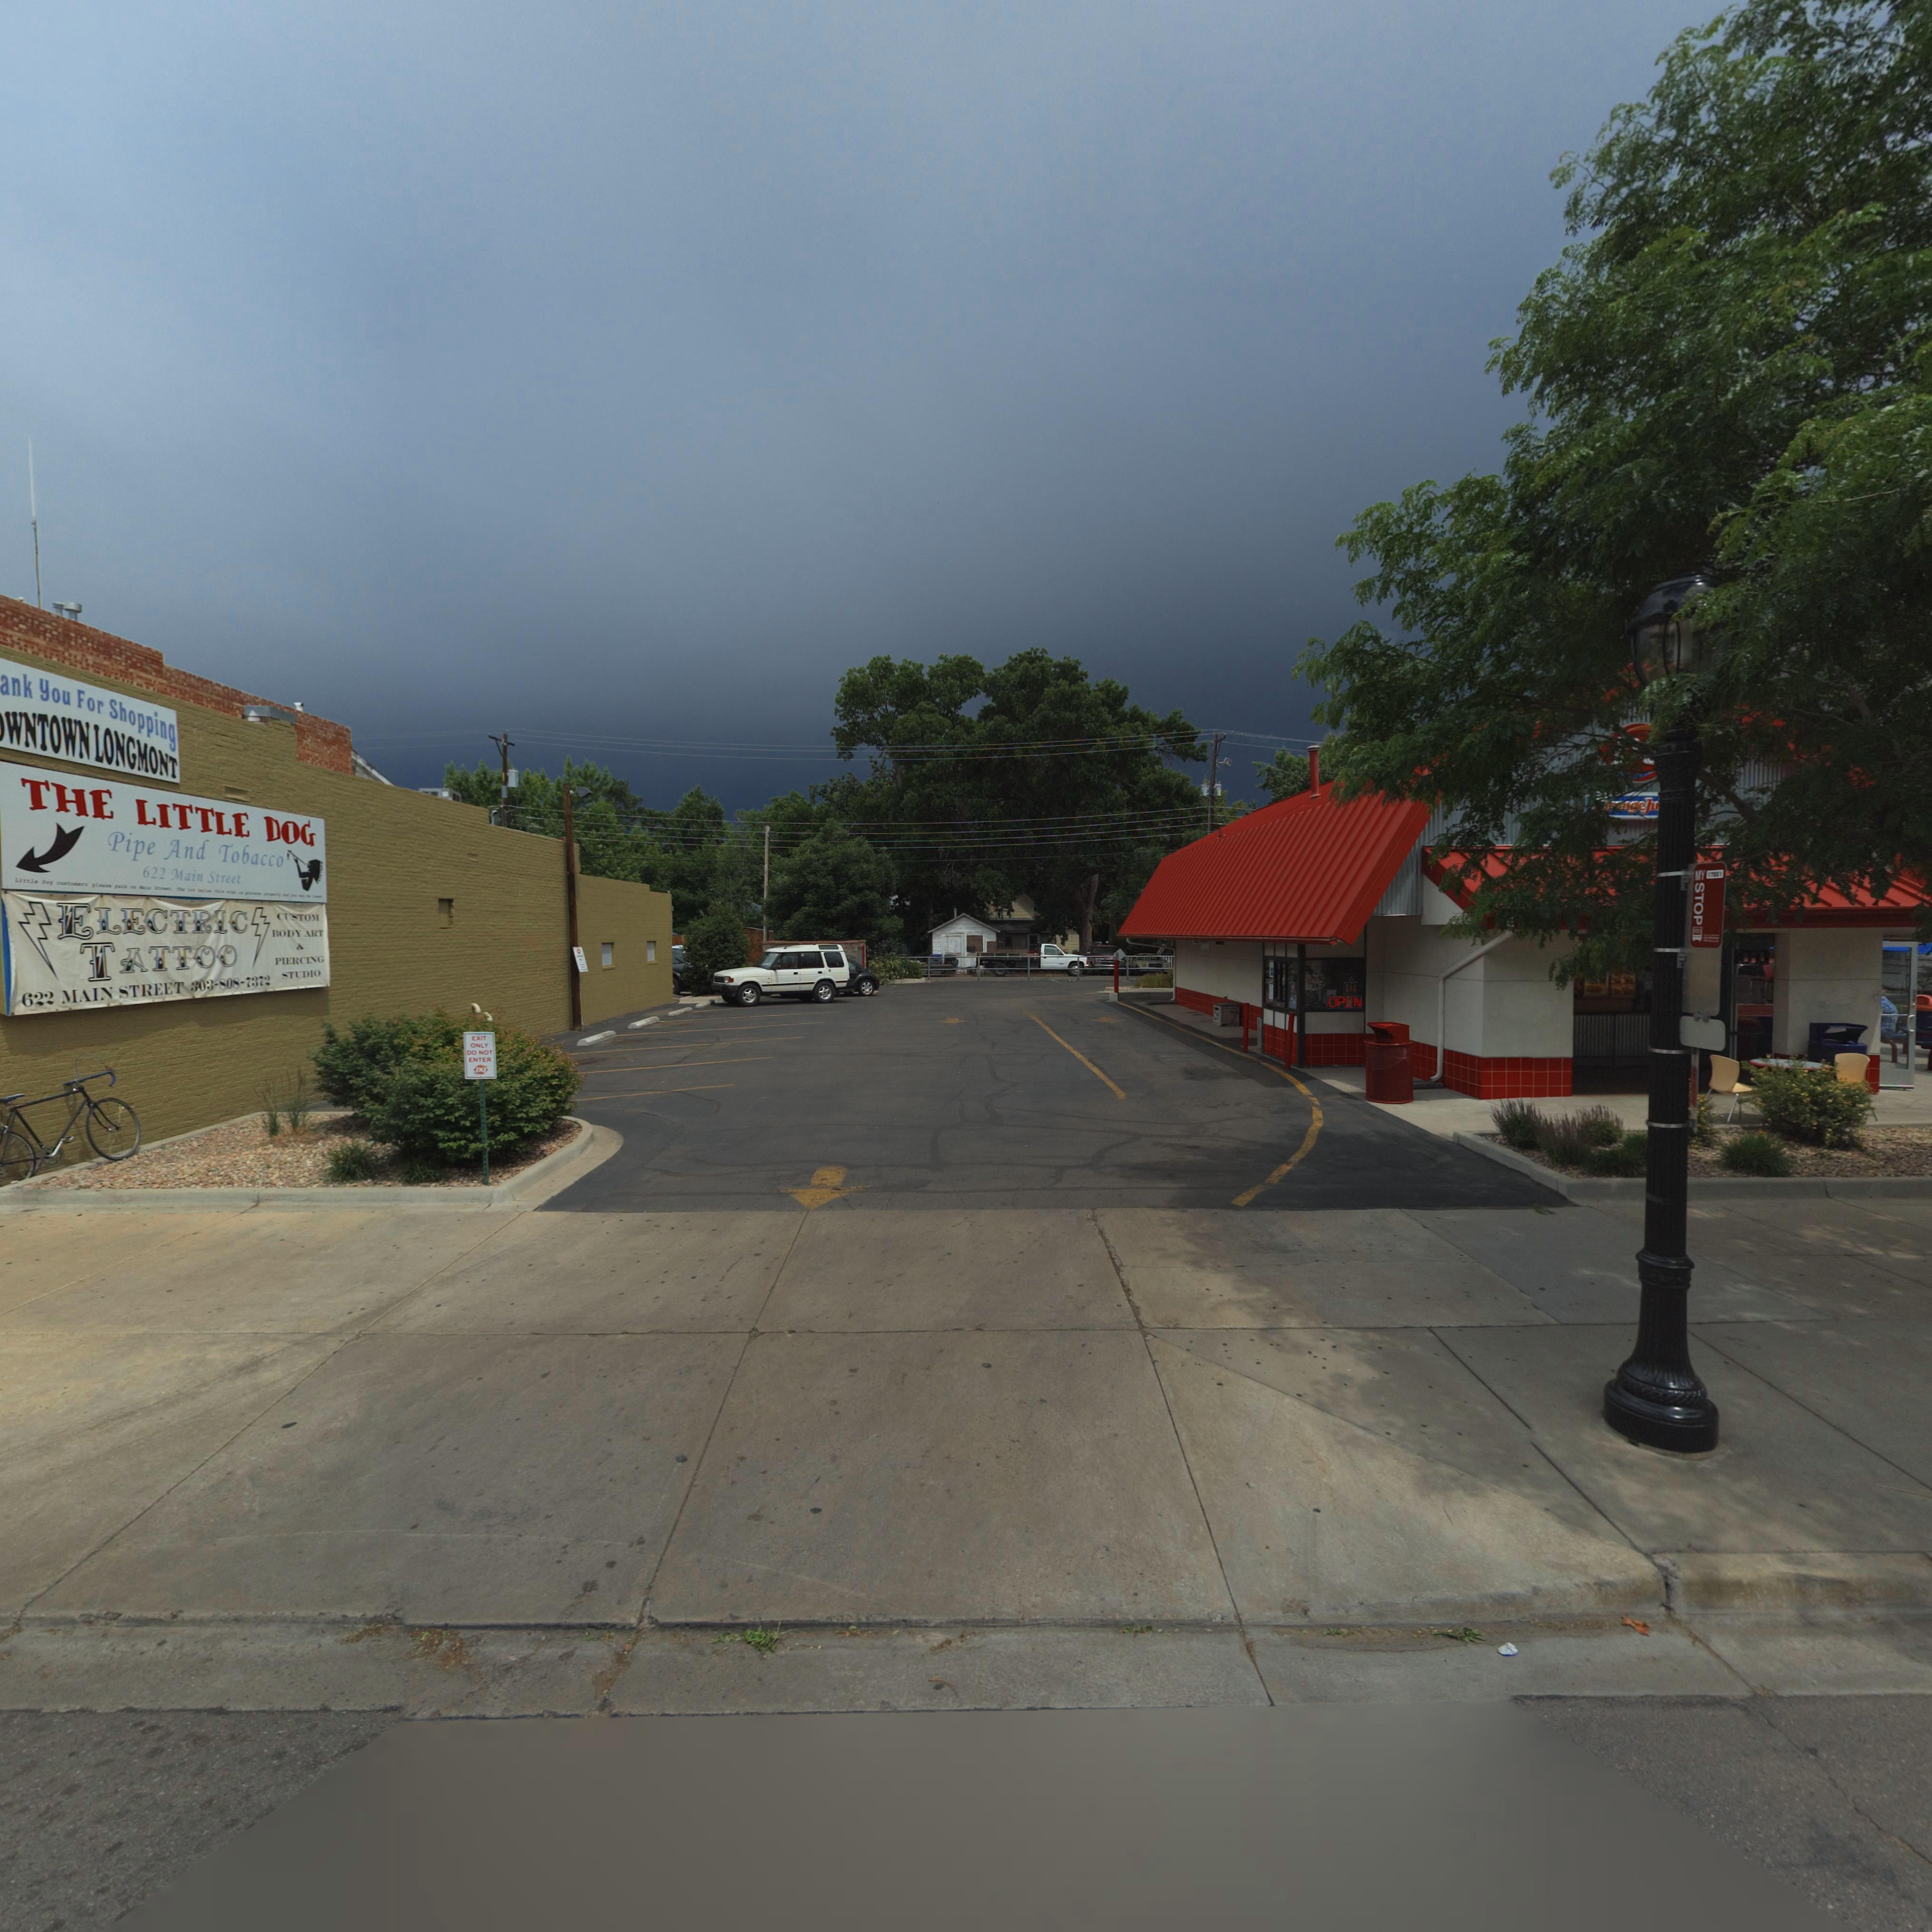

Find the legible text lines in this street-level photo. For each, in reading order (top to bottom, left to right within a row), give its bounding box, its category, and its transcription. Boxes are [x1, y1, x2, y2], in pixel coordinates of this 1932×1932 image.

[19, 775, 317, 850] BusinessName: THE LITTLE DOG
[1621, 796, 1659, 816] BusinessName: ngeJu
[142, 864, 168, 880] StreetNumber: 622
[170, 868, 243, 886] StreetName: Main Street
[54, 901, 249, 941] BusinessName: ELECTRIC
[77, 940, 238, 983] BusinessName: TATTOO
[20, 989, 55, 1008] StreetNumber: 622
[60, 981, 185, 1005] StreetName: MAIN STREET
[475, 1066, 486, 1073] BusinessName: DQ